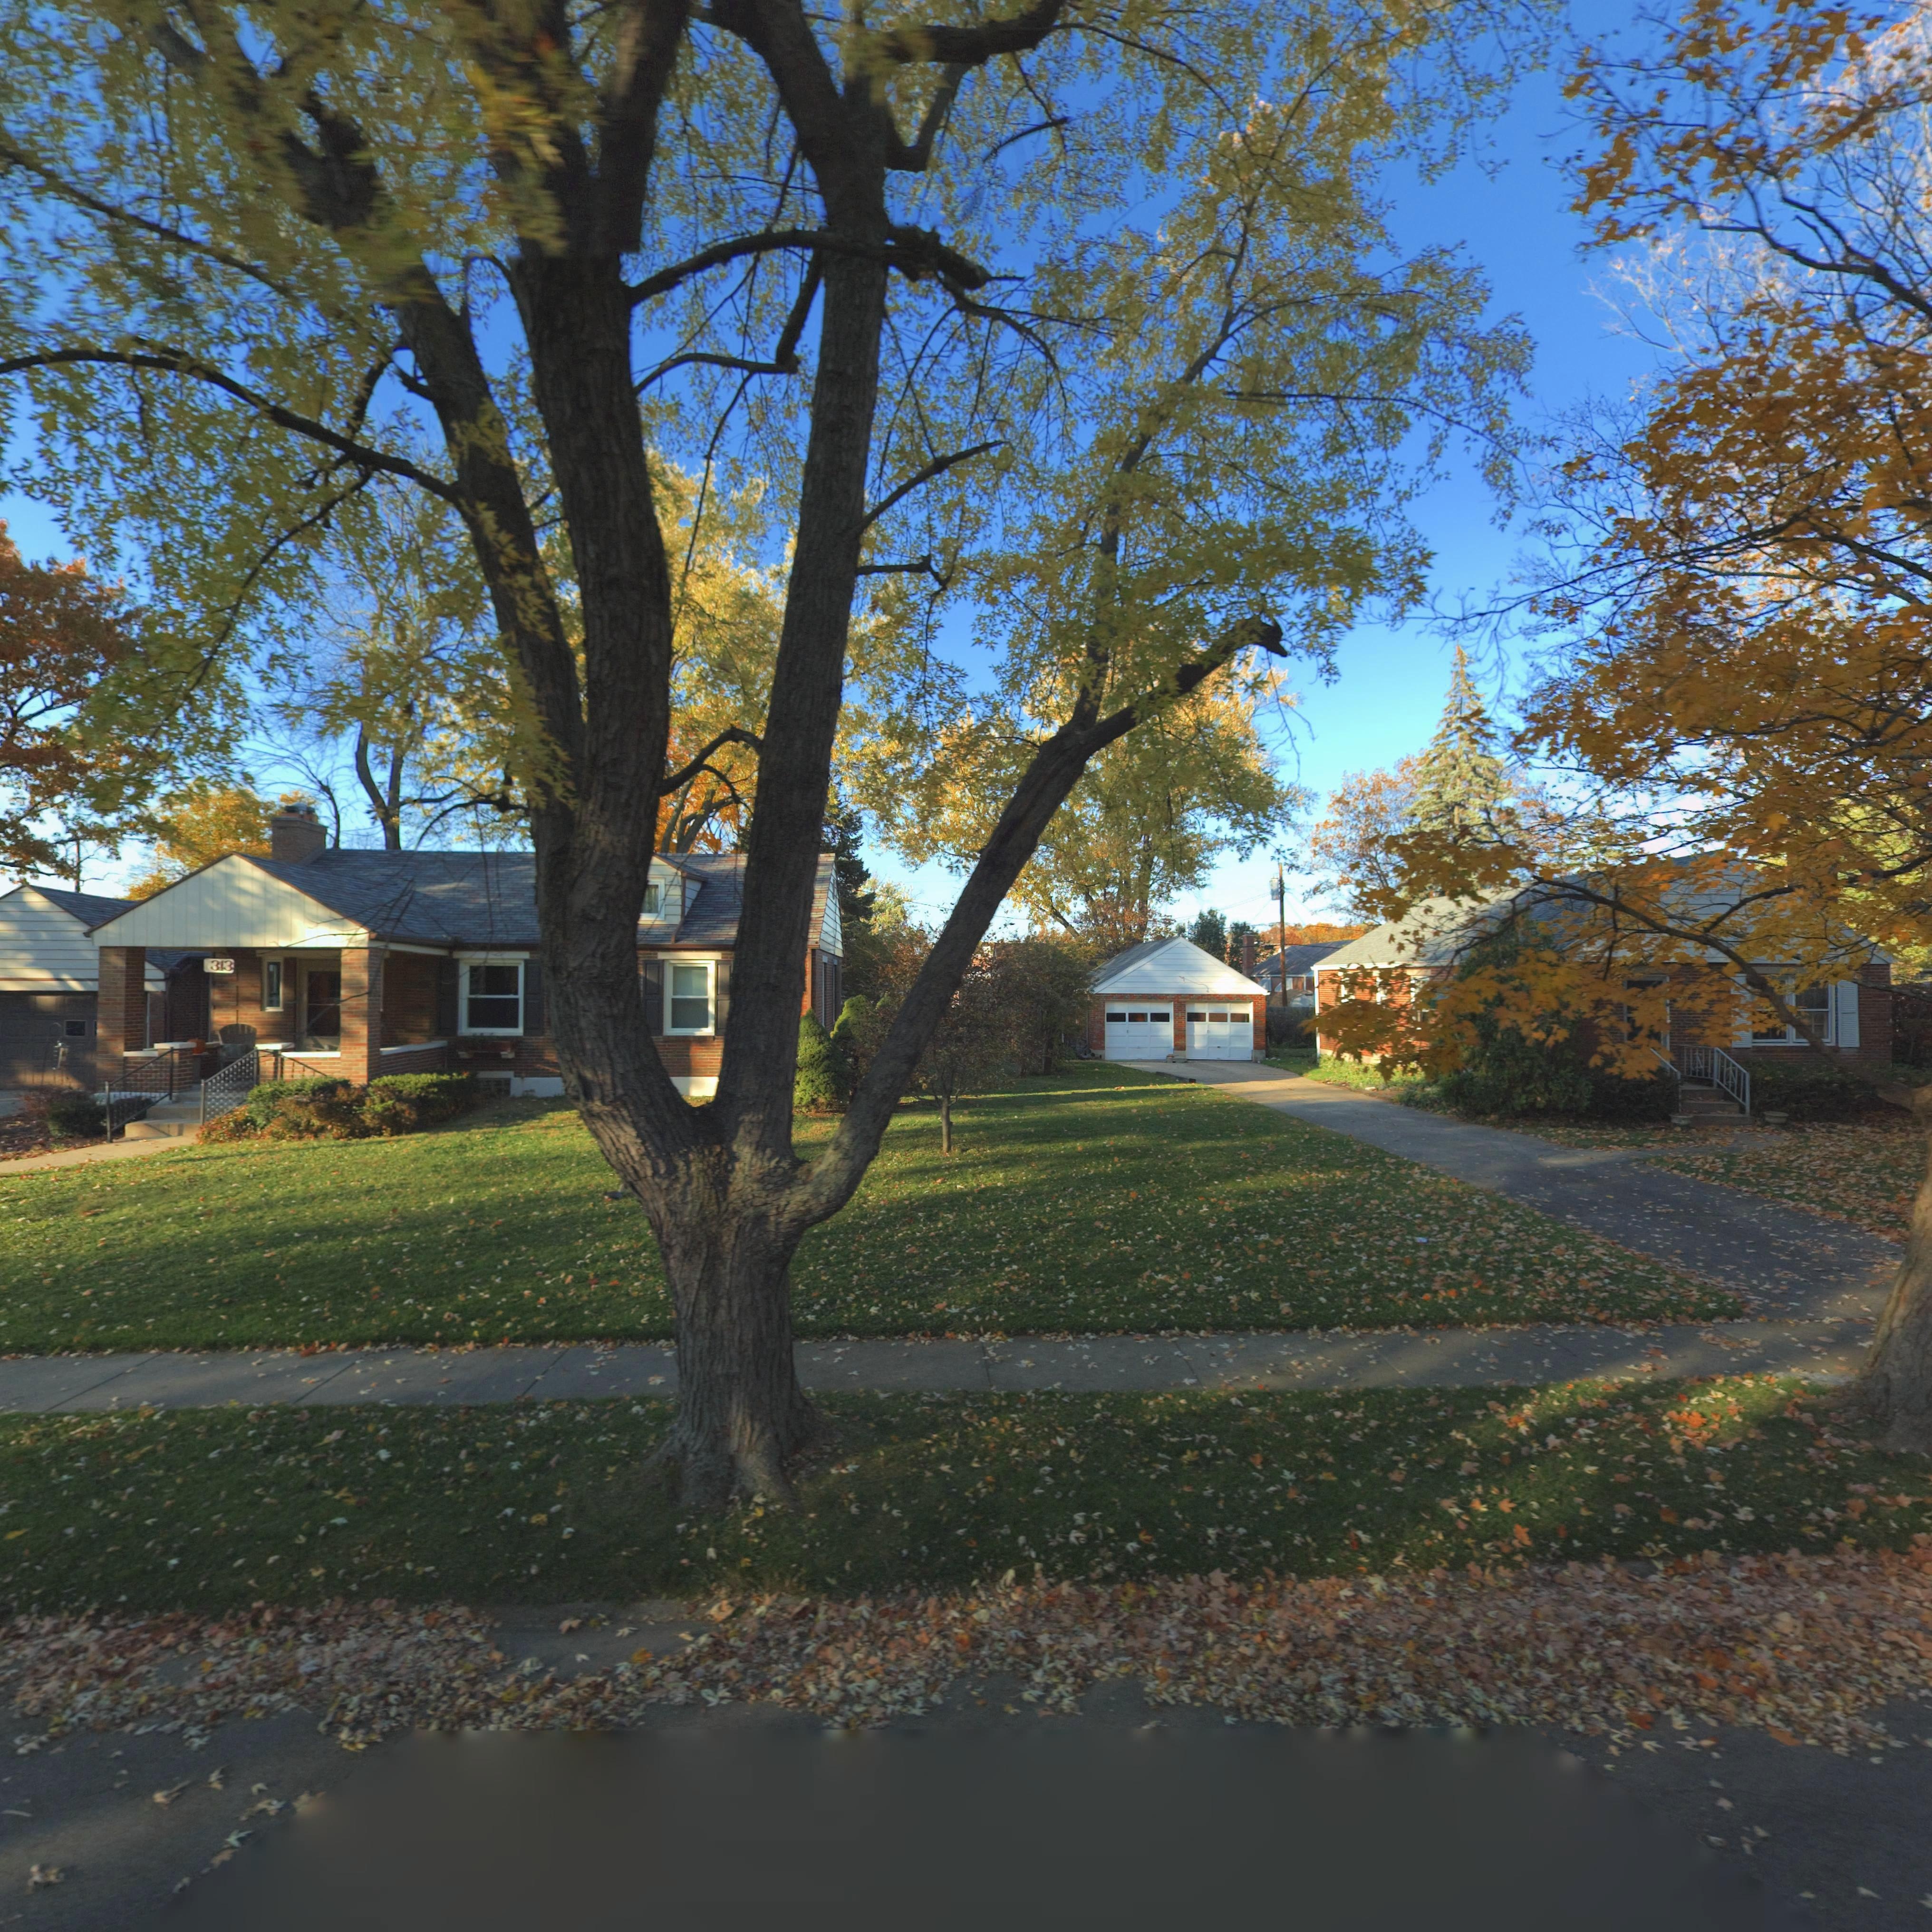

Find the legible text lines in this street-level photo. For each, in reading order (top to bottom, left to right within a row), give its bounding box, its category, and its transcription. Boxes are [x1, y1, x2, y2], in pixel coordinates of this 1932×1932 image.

[210, 959, 233, 972] StreetNumber: 313